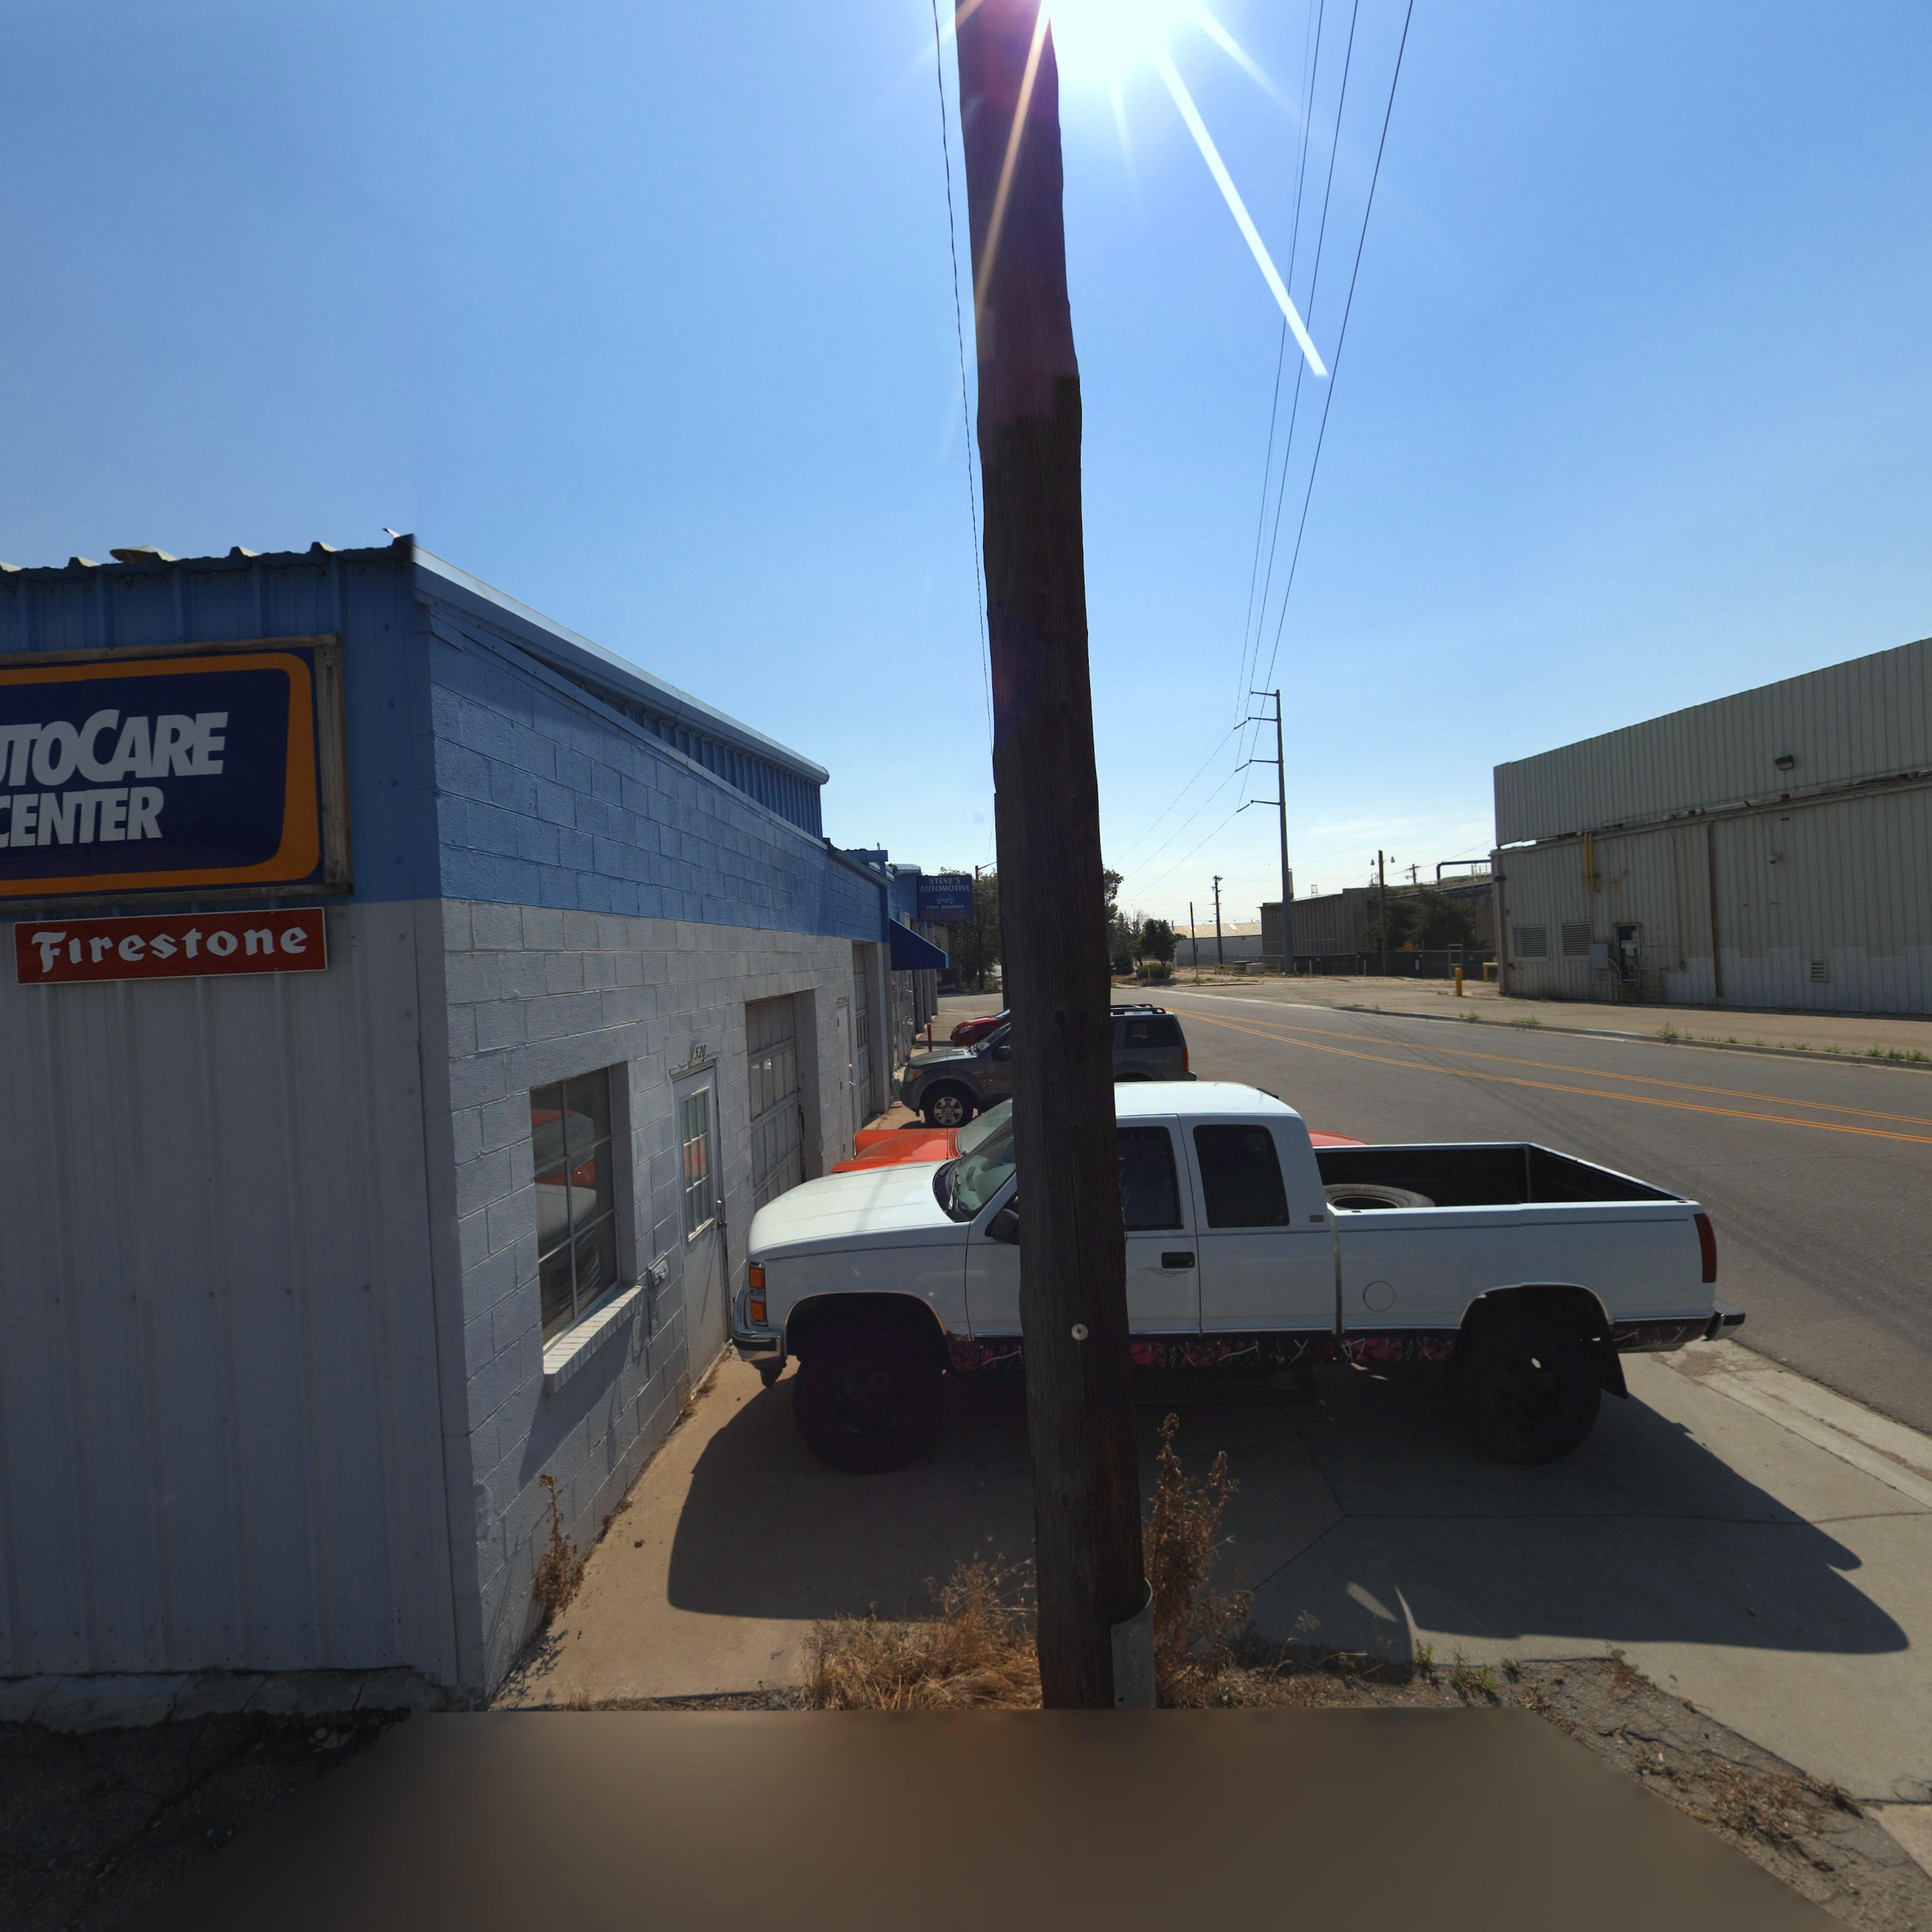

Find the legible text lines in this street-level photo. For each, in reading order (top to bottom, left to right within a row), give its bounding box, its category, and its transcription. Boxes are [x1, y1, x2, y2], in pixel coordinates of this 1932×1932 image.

[6, 705, 232, 788] BusinessName: TOCARE
[7, 782, 167, 850] BusinessName: ENTER
[919, 884, 970, 892] BusinessName: AUTOMOTIVE
[929, 877, 961, 884] BusinessName: STEVE'S
[694, 1044, 706, 1060] StreetNumber: 520